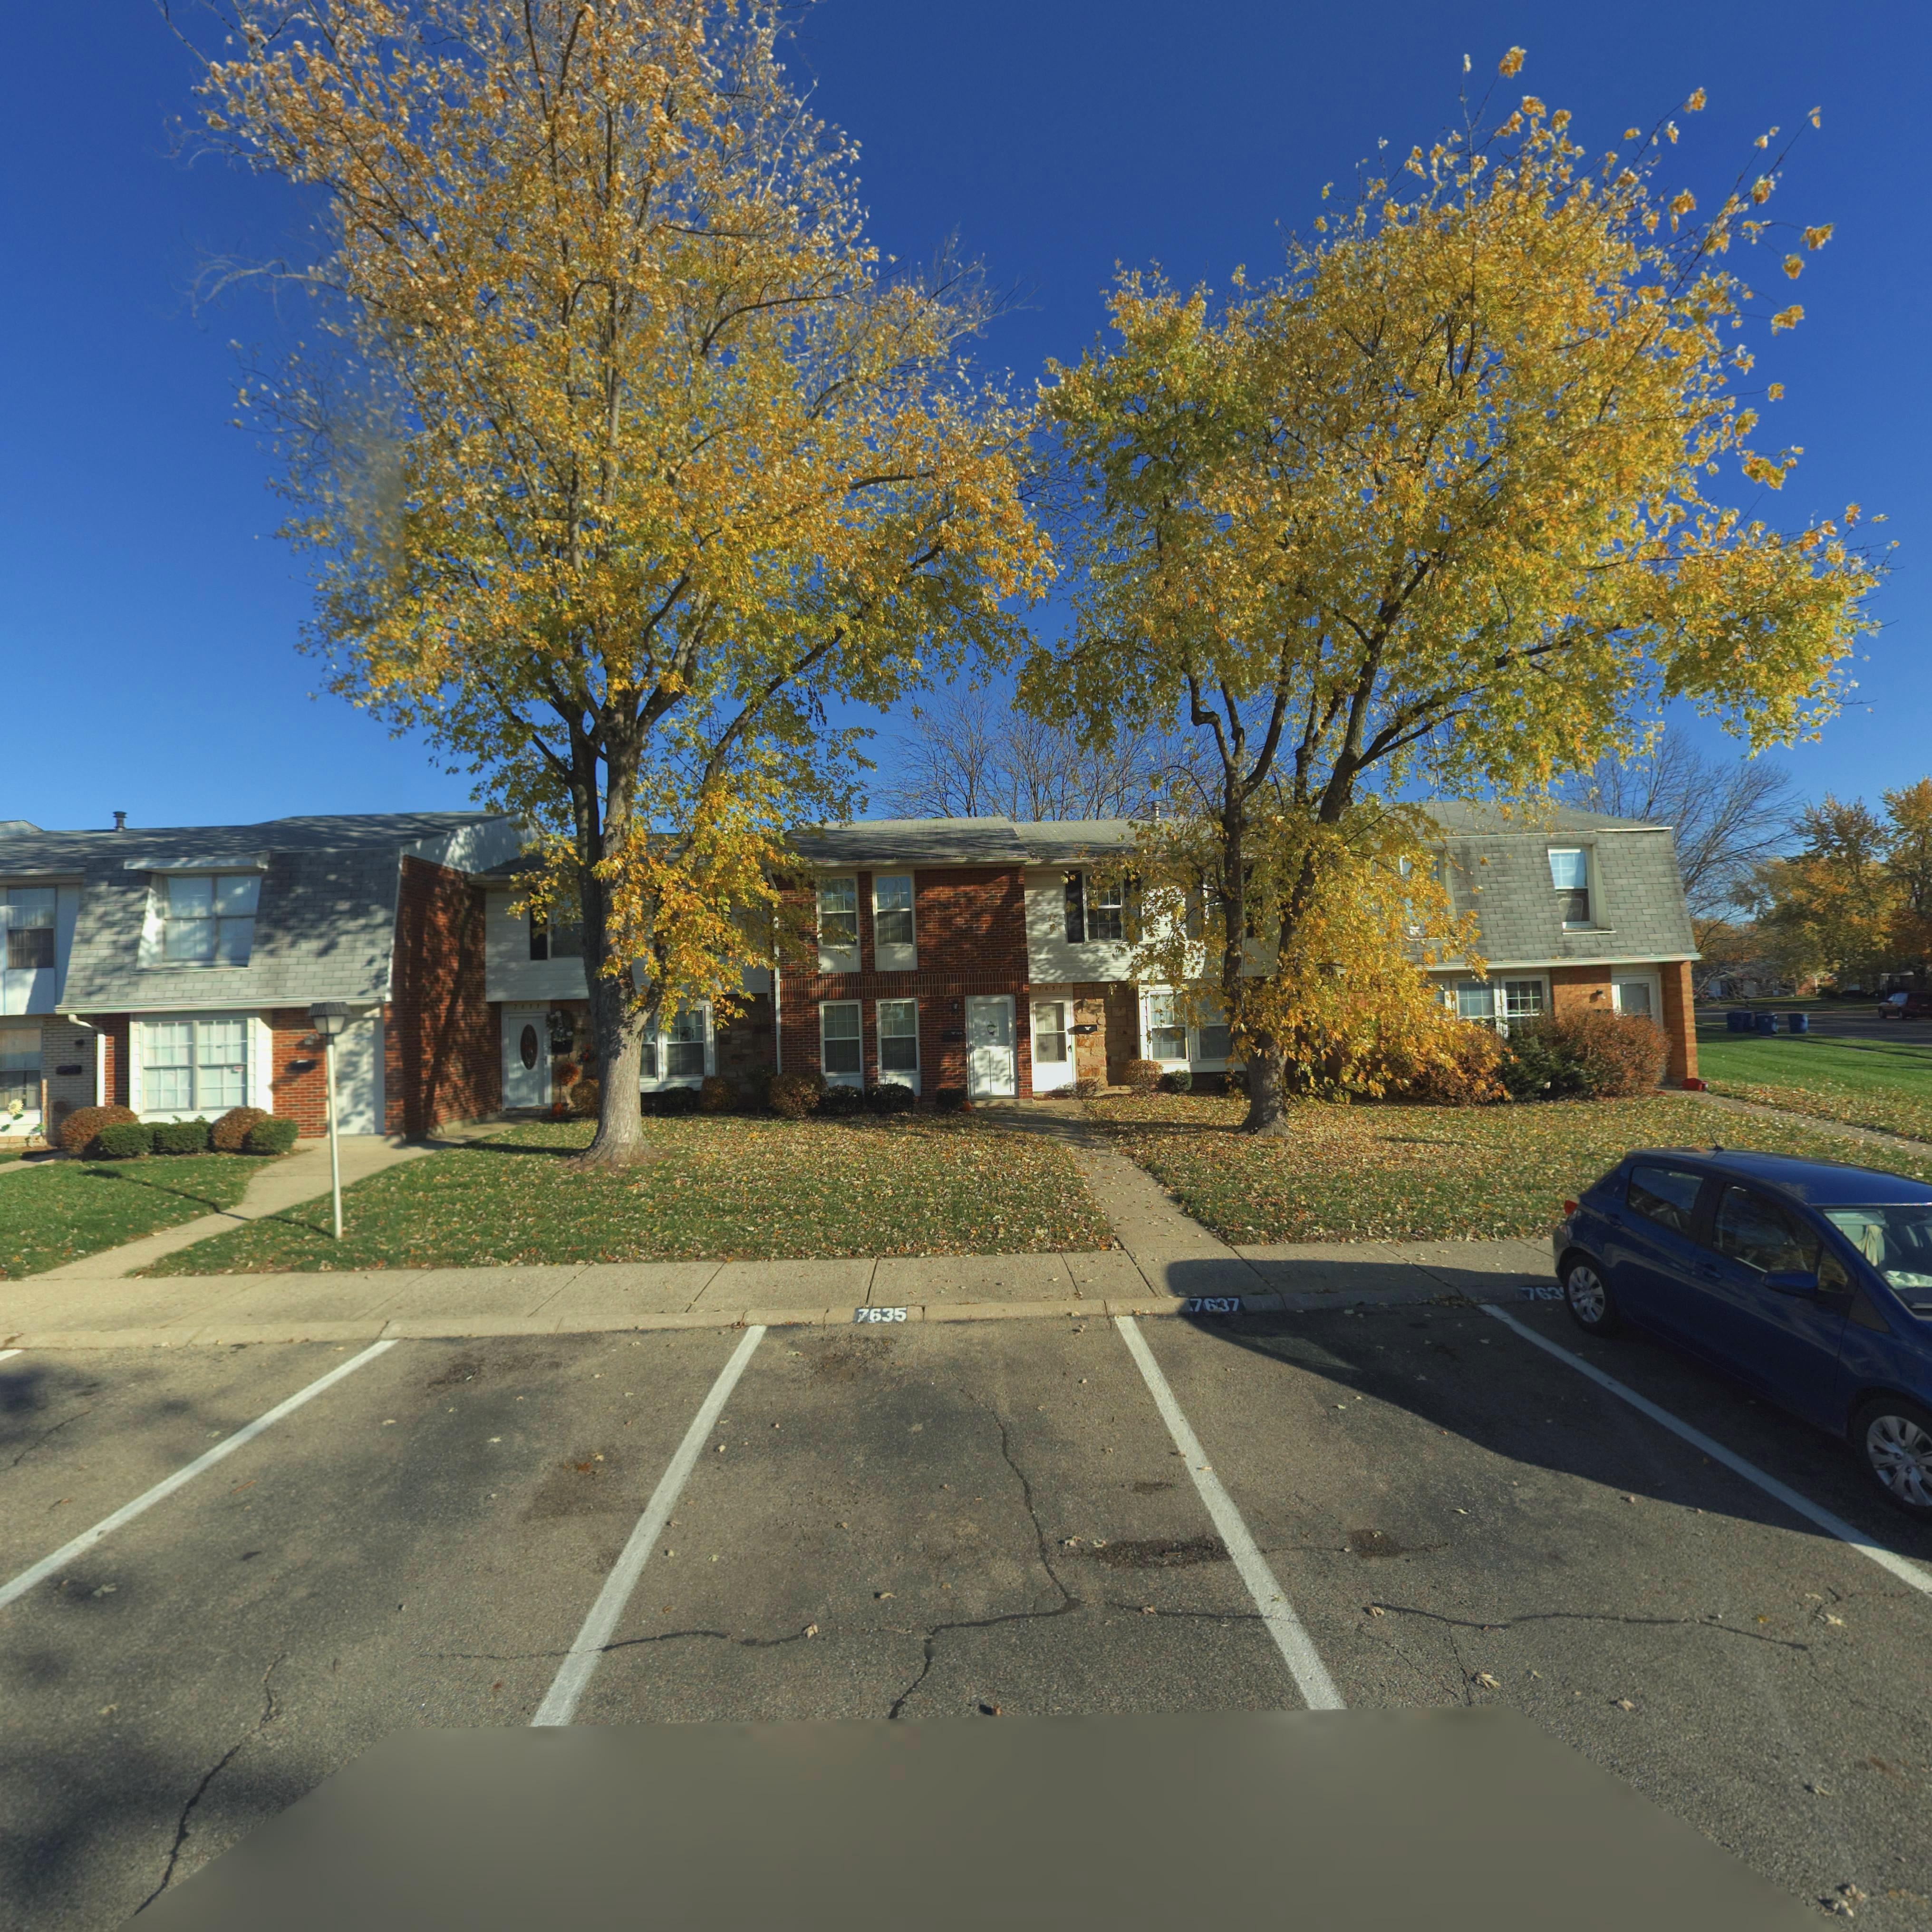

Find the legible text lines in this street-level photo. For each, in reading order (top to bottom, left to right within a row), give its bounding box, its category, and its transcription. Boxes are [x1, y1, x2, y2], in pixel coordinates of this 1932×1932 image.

[1037, 985, 1063, 992] StreetNumber: 7657
[512, 1003, 541, 1010] StreetNumber: 7633
[1518, 1286, 1565, 1302] StreetNumber: 763
[1189, 1297, 1240, 1312] StreetNumber: 7637
[857, 1306, 907, 1323] StreetNumber: 7635